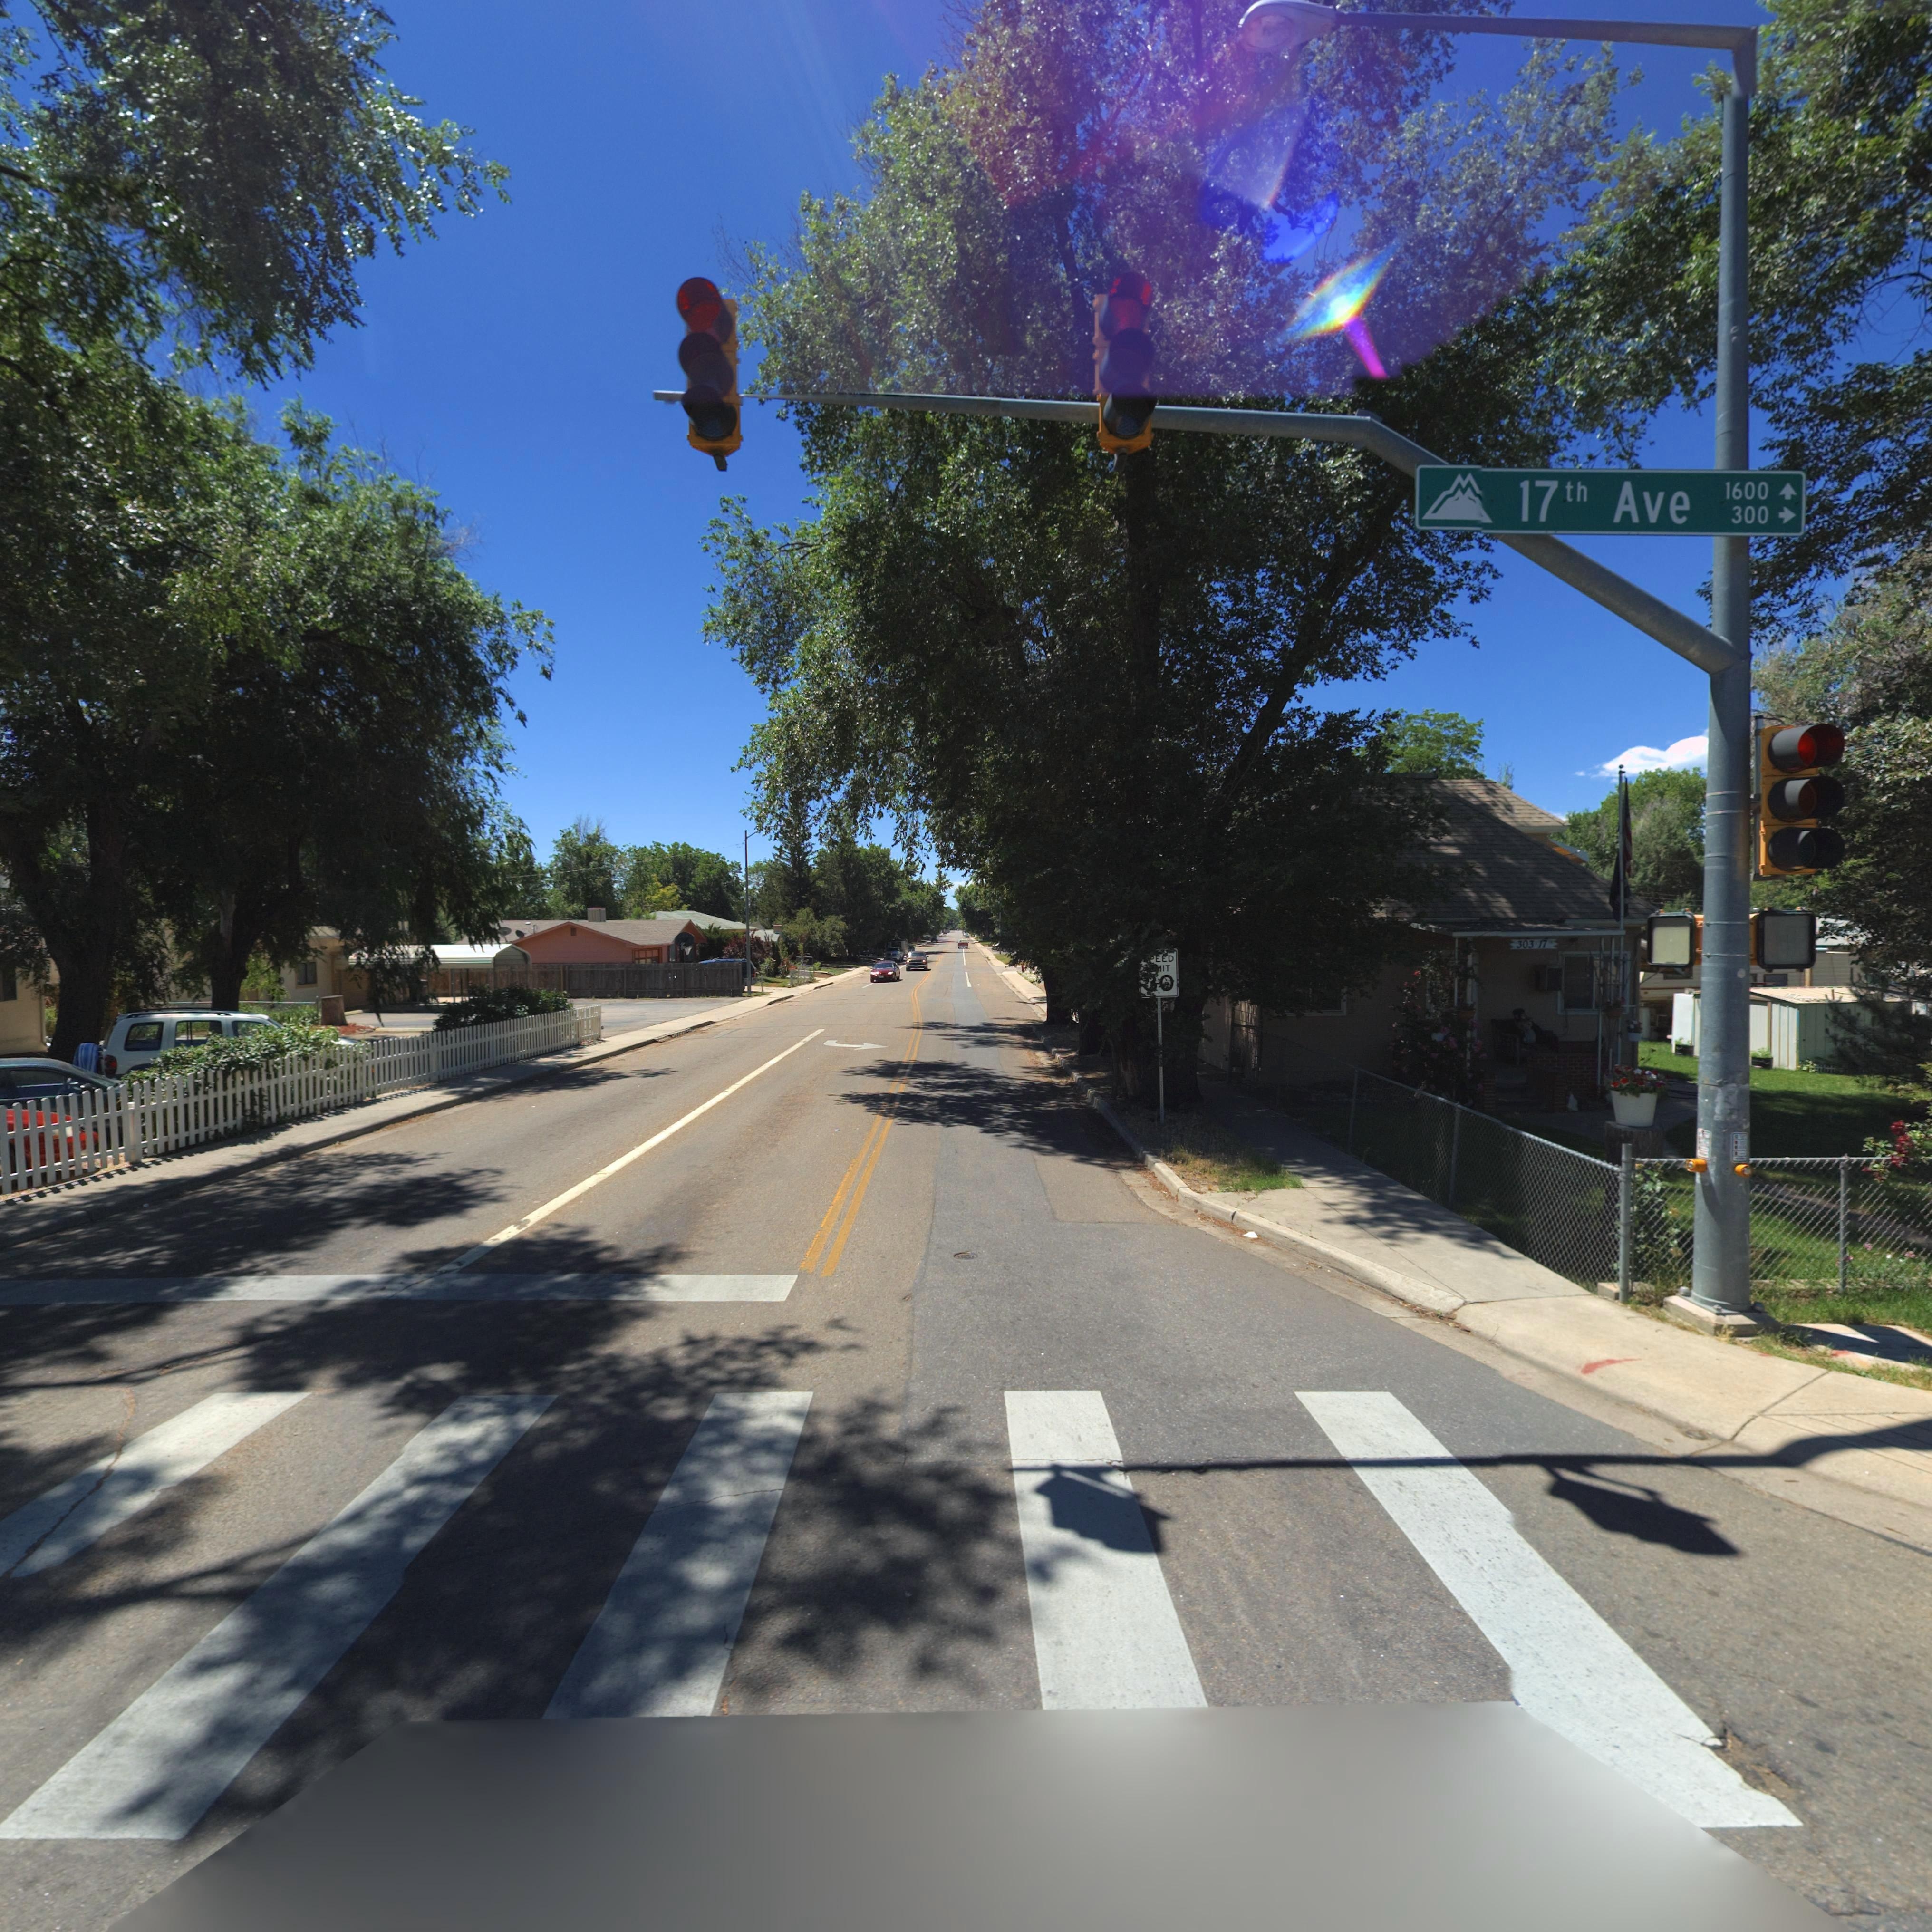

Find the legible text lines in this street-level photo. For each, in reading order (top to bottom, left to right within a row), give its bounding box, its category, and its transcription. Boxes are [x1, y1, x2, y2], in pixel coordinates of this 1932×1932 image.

[1725, 481, 1769, 501] StreetNumberRange: 1600
[1519, 480, 1690, 525] StreetName: 17th Ave
[1731, 505, 1797, 524] StreetNumberRange: 300->
[1516, 940, 1534, 948] StreetNumber: 303
[1537, 939, 1548, 948] StreetNumber: 17